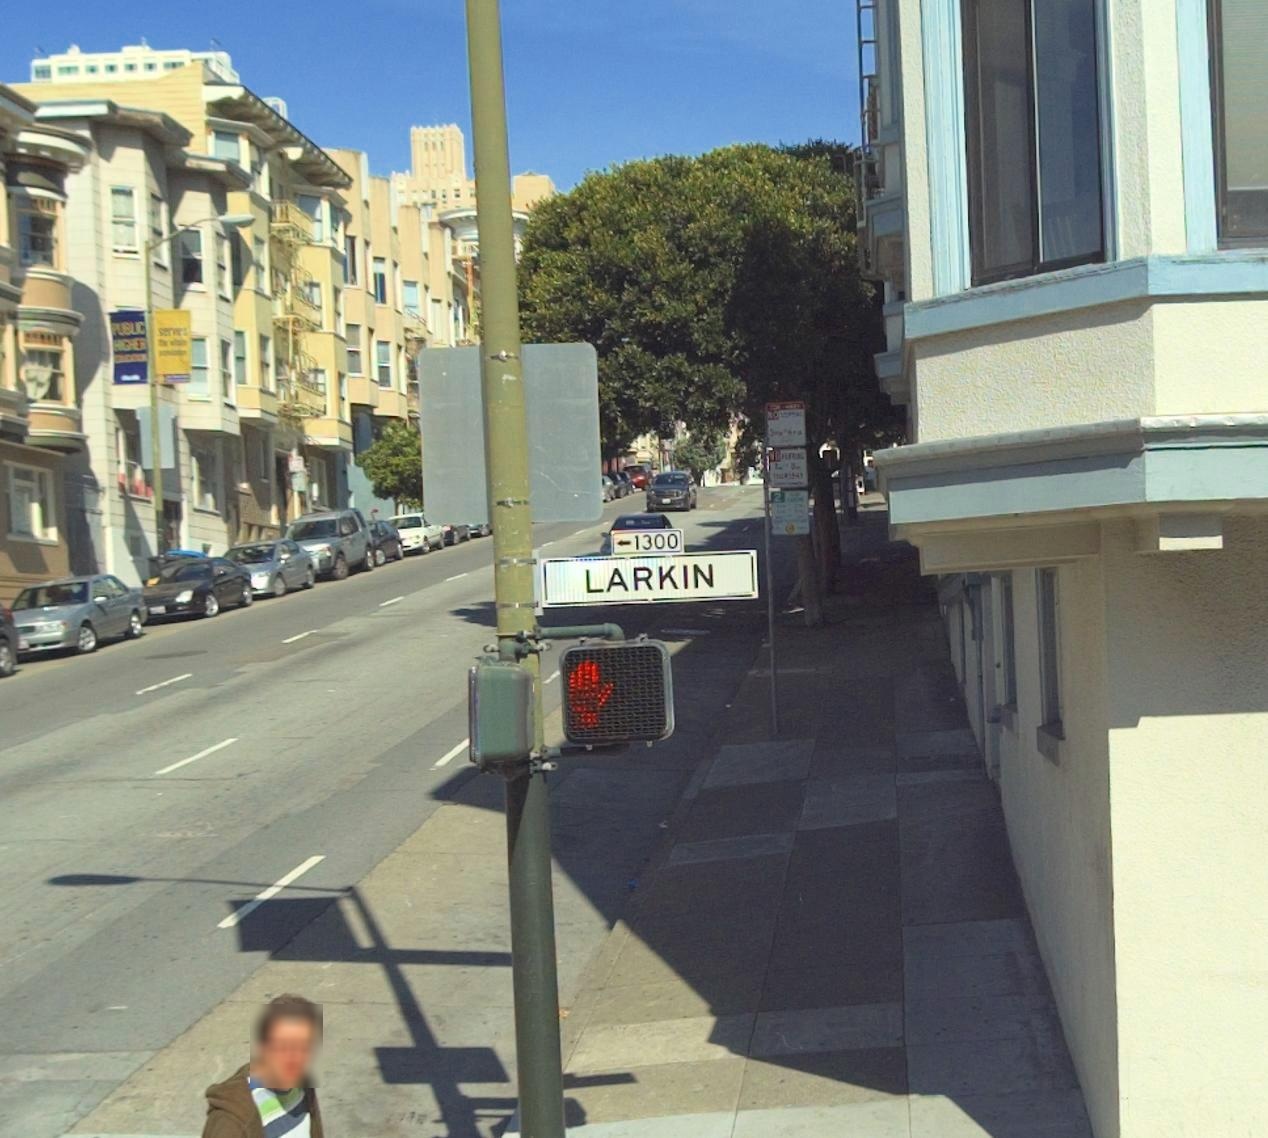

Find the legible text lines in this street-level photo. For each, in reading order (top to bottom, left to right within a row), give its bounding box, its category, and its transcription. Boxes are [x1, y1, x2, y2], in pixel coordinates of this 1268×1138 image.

[771, 490, 784, 504] None: 2
[613, 530, 681, 553] None: <-1300
[582, 560, 717, 597] StreetName: LARKIN